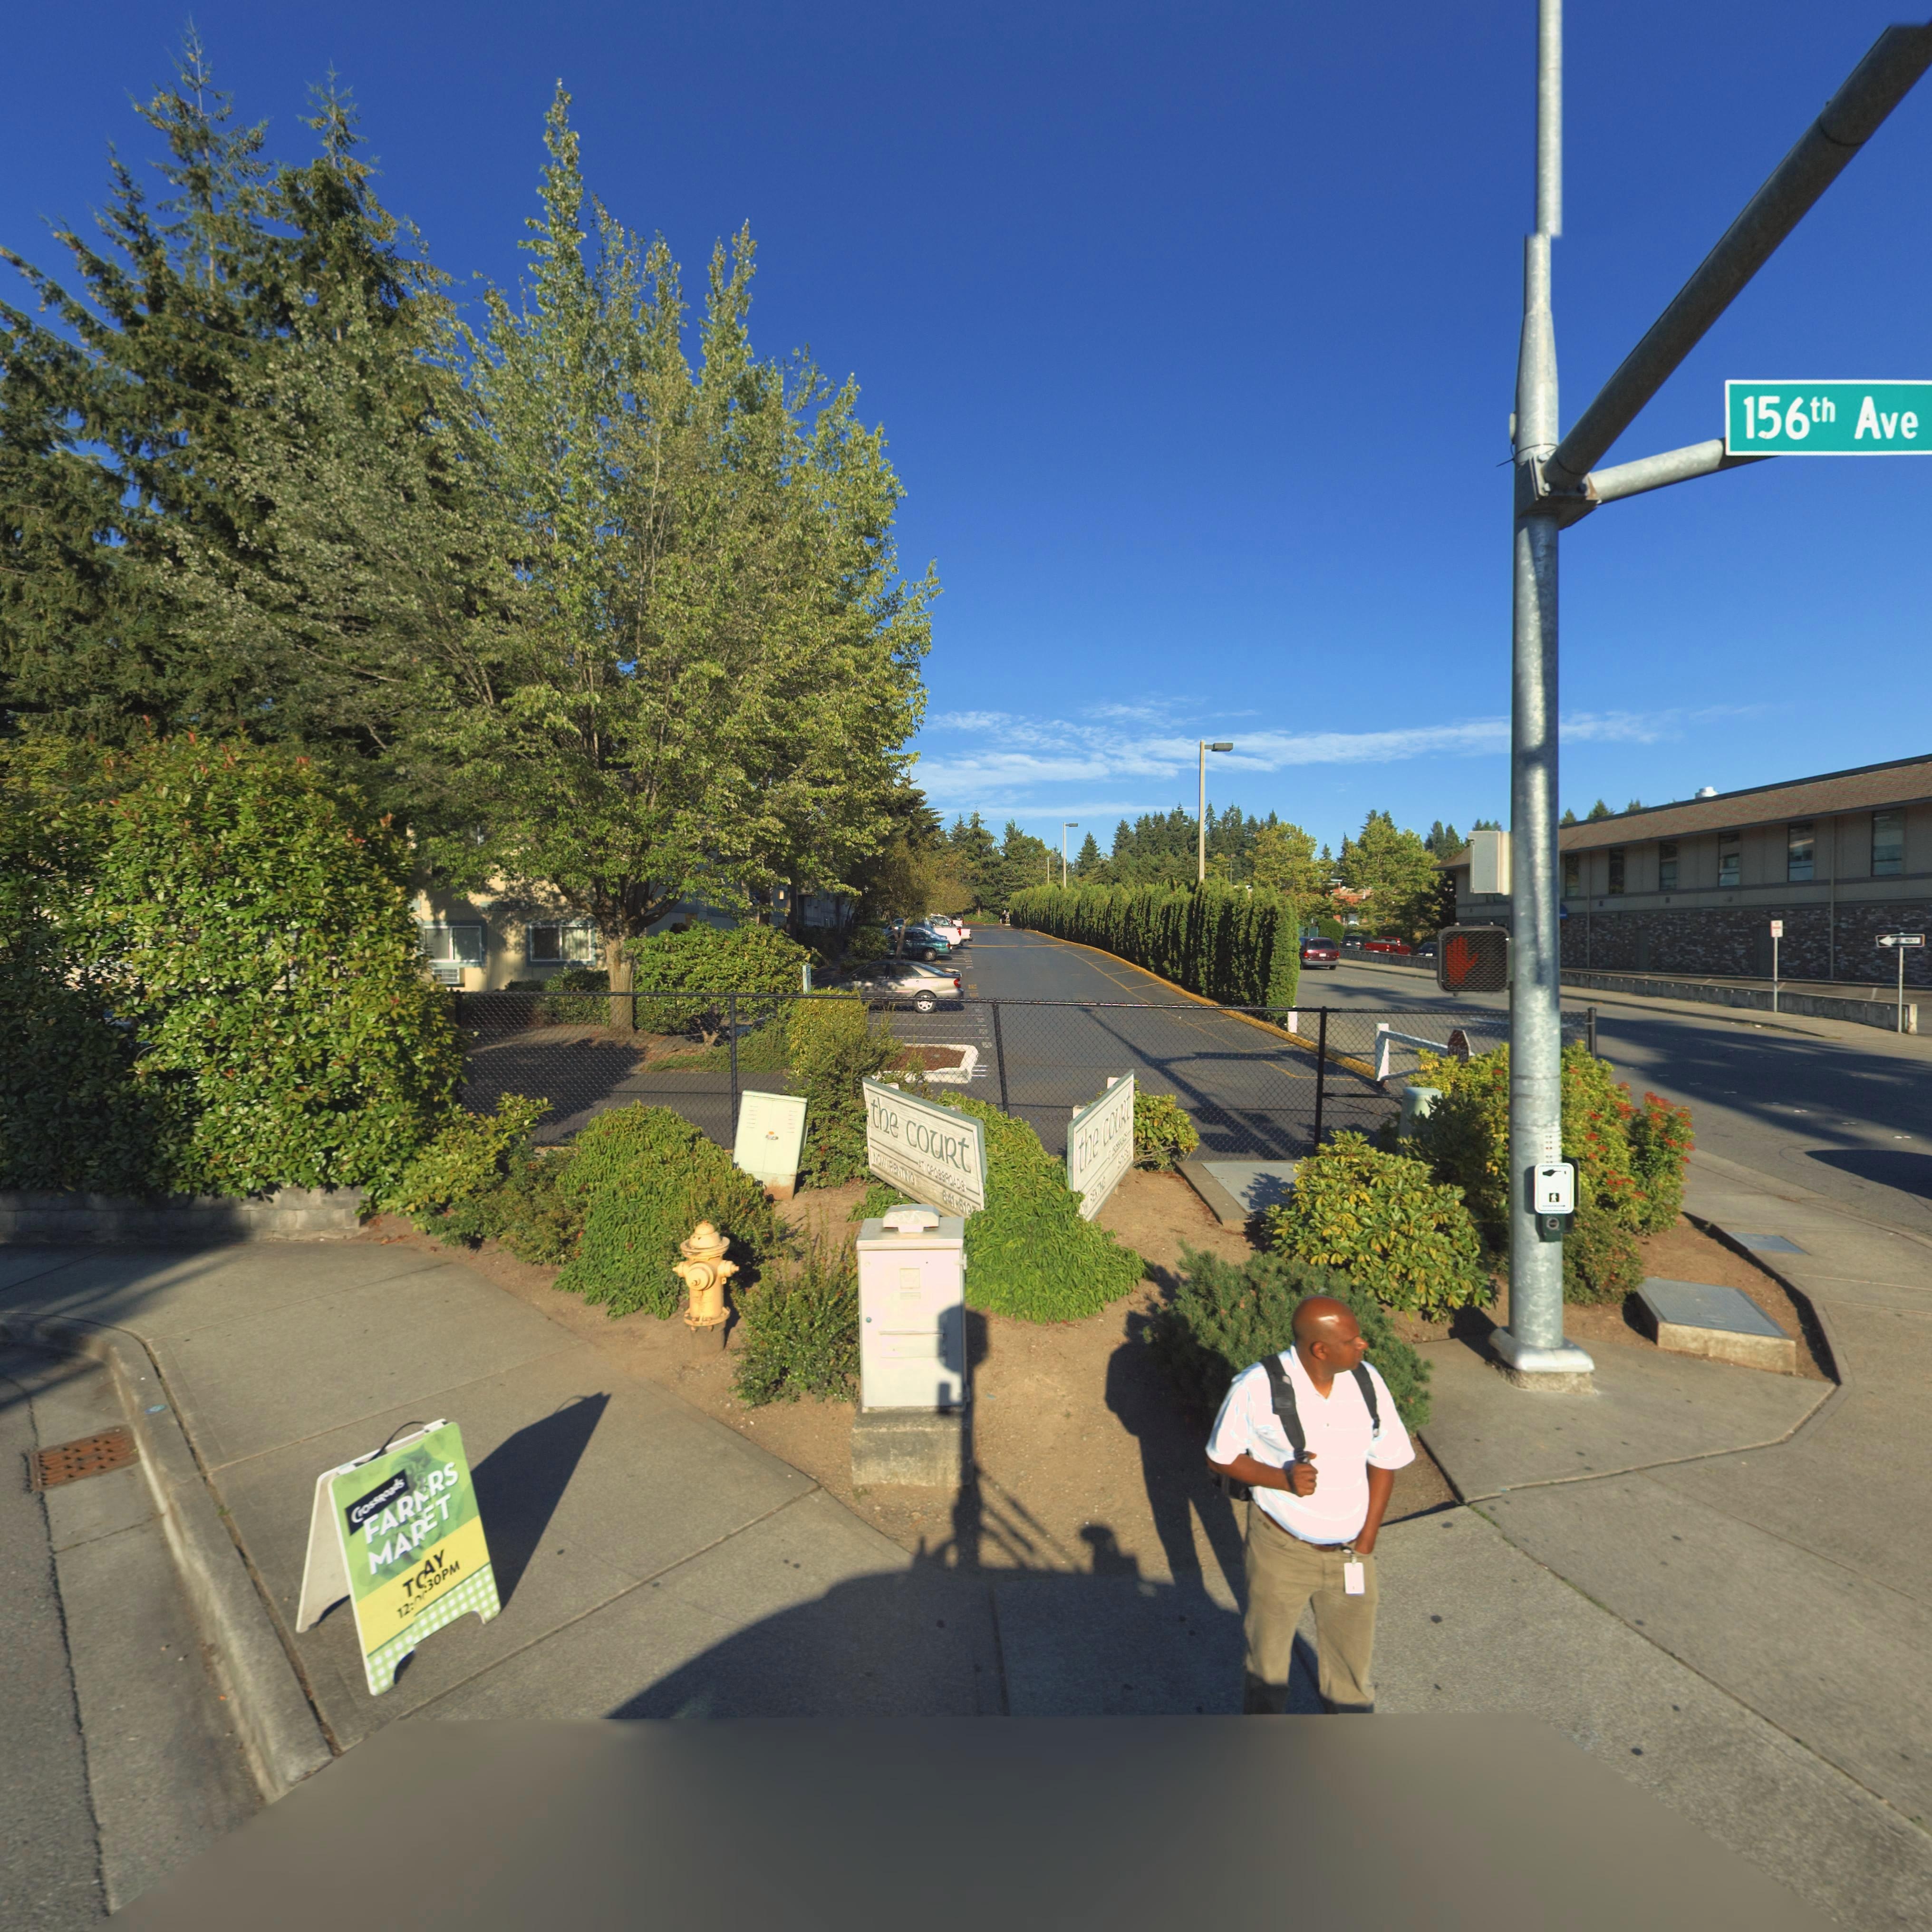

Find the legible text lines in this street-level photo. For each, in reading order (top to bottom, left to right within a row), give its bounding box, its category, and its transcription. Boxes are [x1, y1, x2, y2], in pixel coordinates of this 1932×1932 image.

[1740, 394, 1929, 442] StreetName: 156th Ave